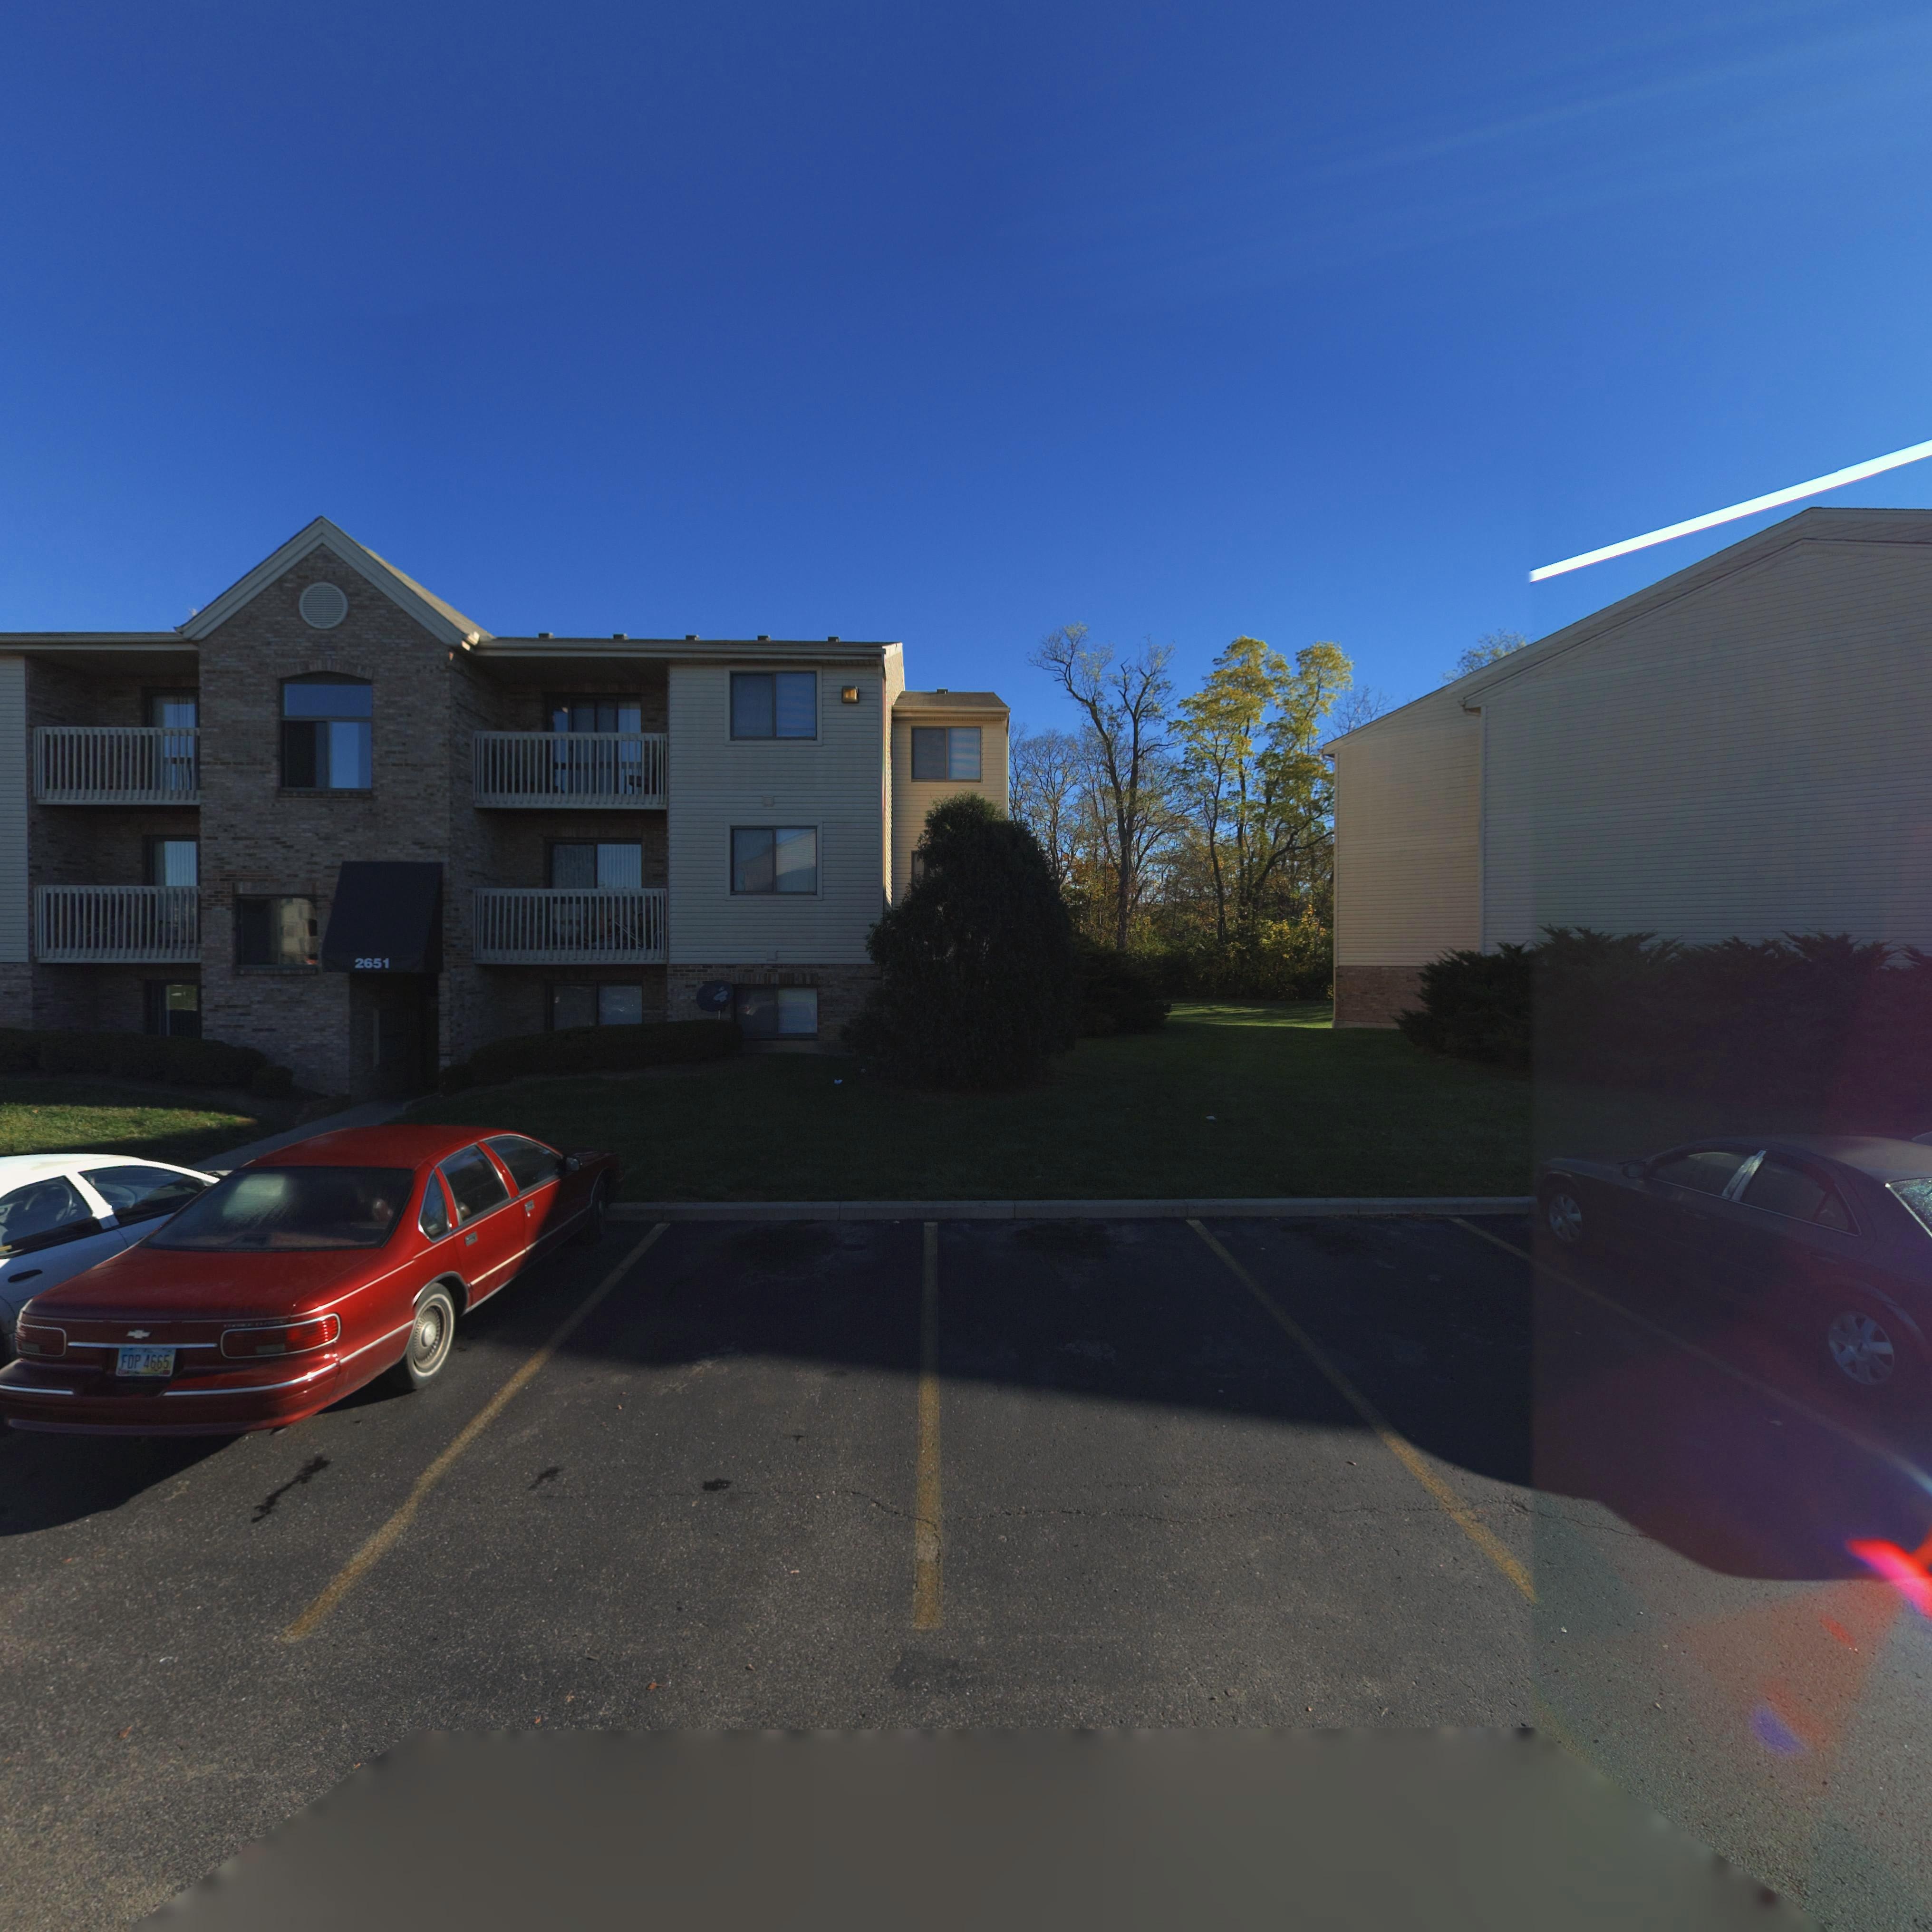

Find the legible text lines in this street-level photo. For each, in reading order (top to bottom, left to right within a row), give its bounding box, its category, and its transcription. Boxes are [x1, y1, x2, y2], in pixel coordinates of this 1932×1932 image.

[353, 956, 391, 970] StreetNumber: 2651